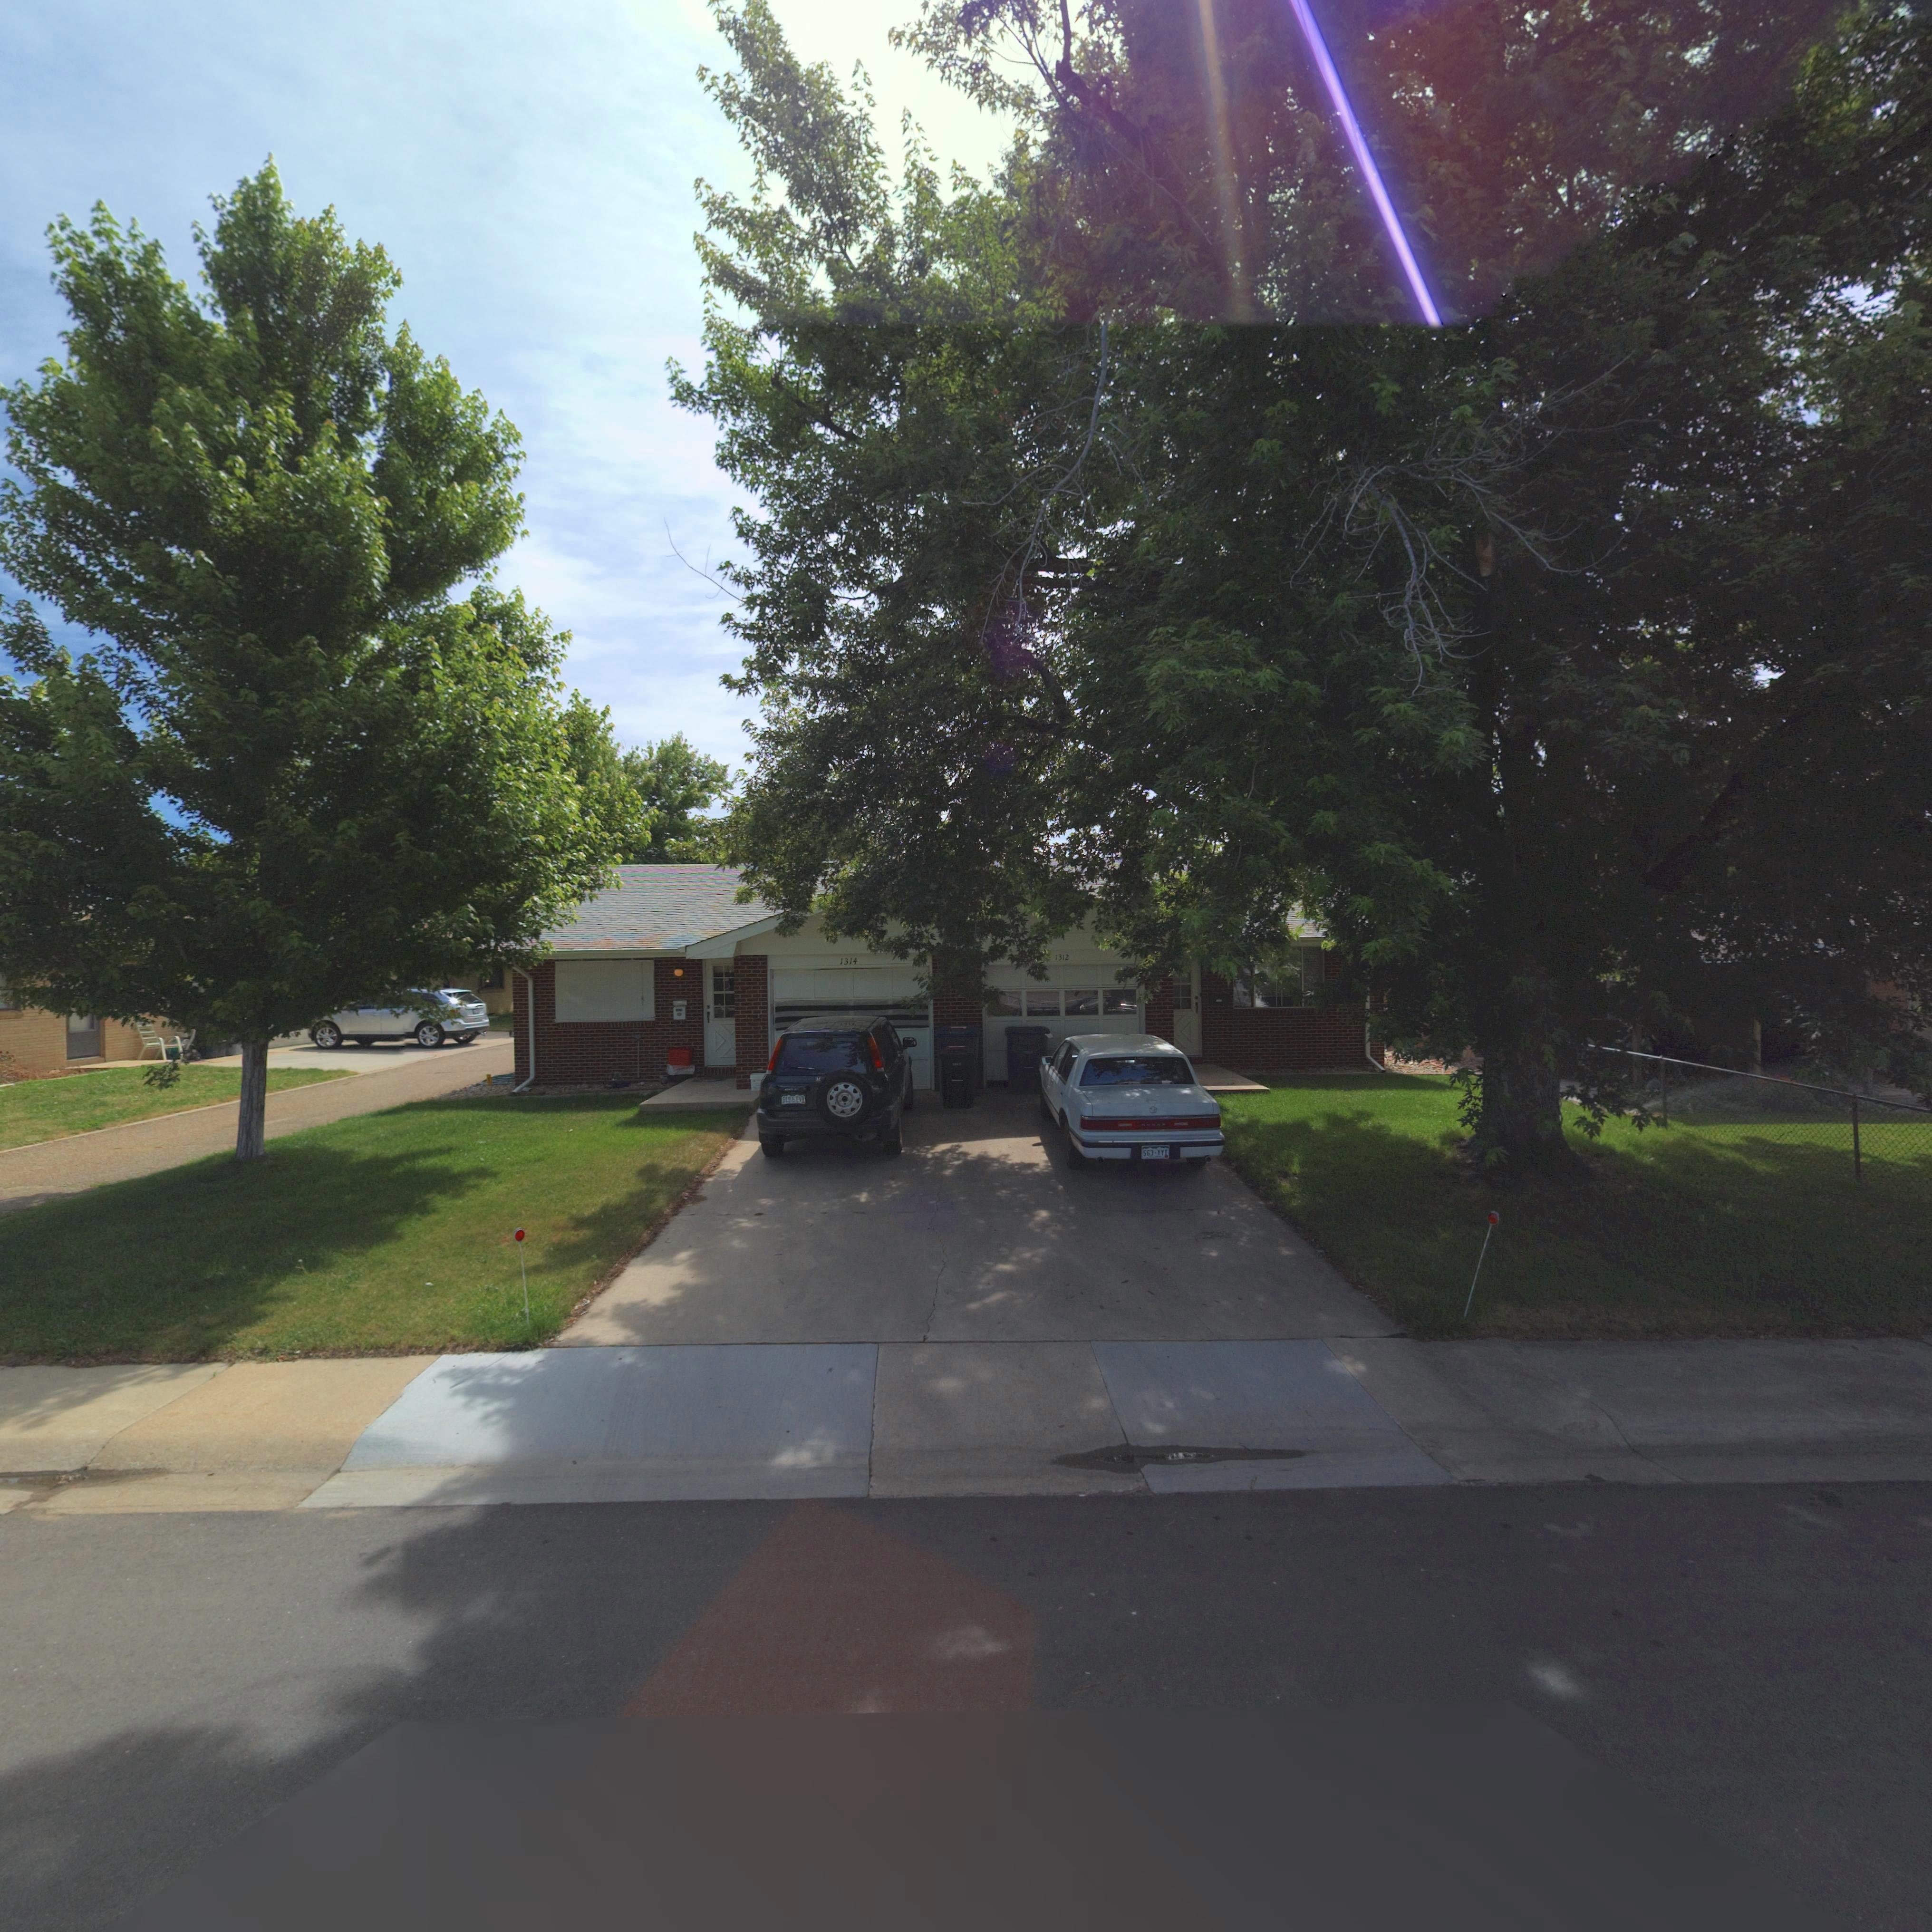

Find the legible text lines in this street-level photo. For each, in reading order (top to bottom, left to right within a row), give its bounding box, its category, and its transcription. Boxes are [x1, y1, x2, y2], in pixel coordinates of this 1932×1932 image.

[839, 957, 858, 965] StreetNumber: 1314
[1055, 954, 1069, 961] StreetNumber: 1312